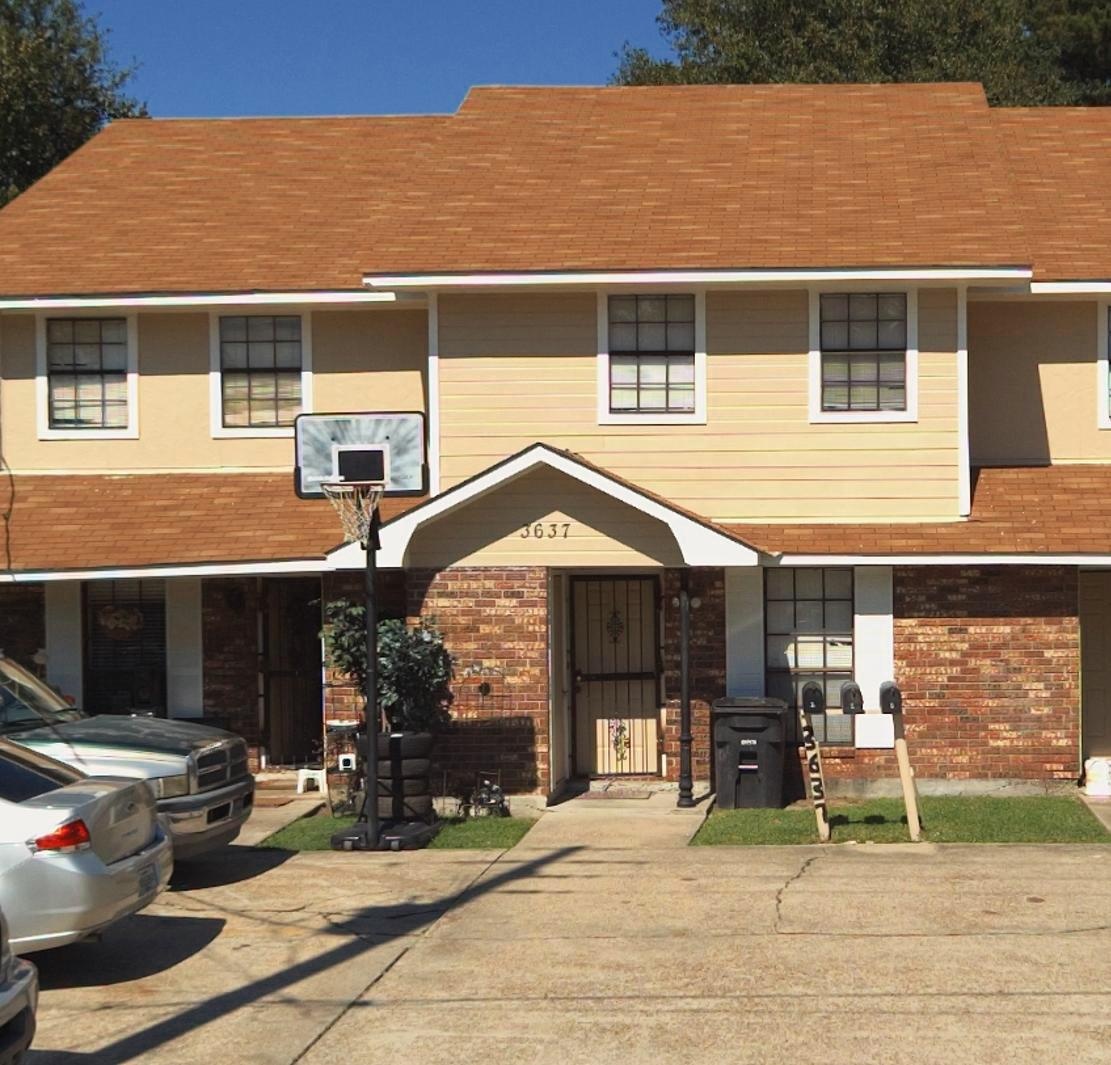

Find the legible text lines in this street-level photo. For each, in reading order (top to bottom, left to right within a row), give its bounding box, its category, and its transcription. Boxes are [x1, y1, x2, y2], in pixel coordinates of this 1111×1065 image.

[519, 522, 572, 539] StreetNumber: 3637
[800, 723, 830, 825] StreetNumber: 3637